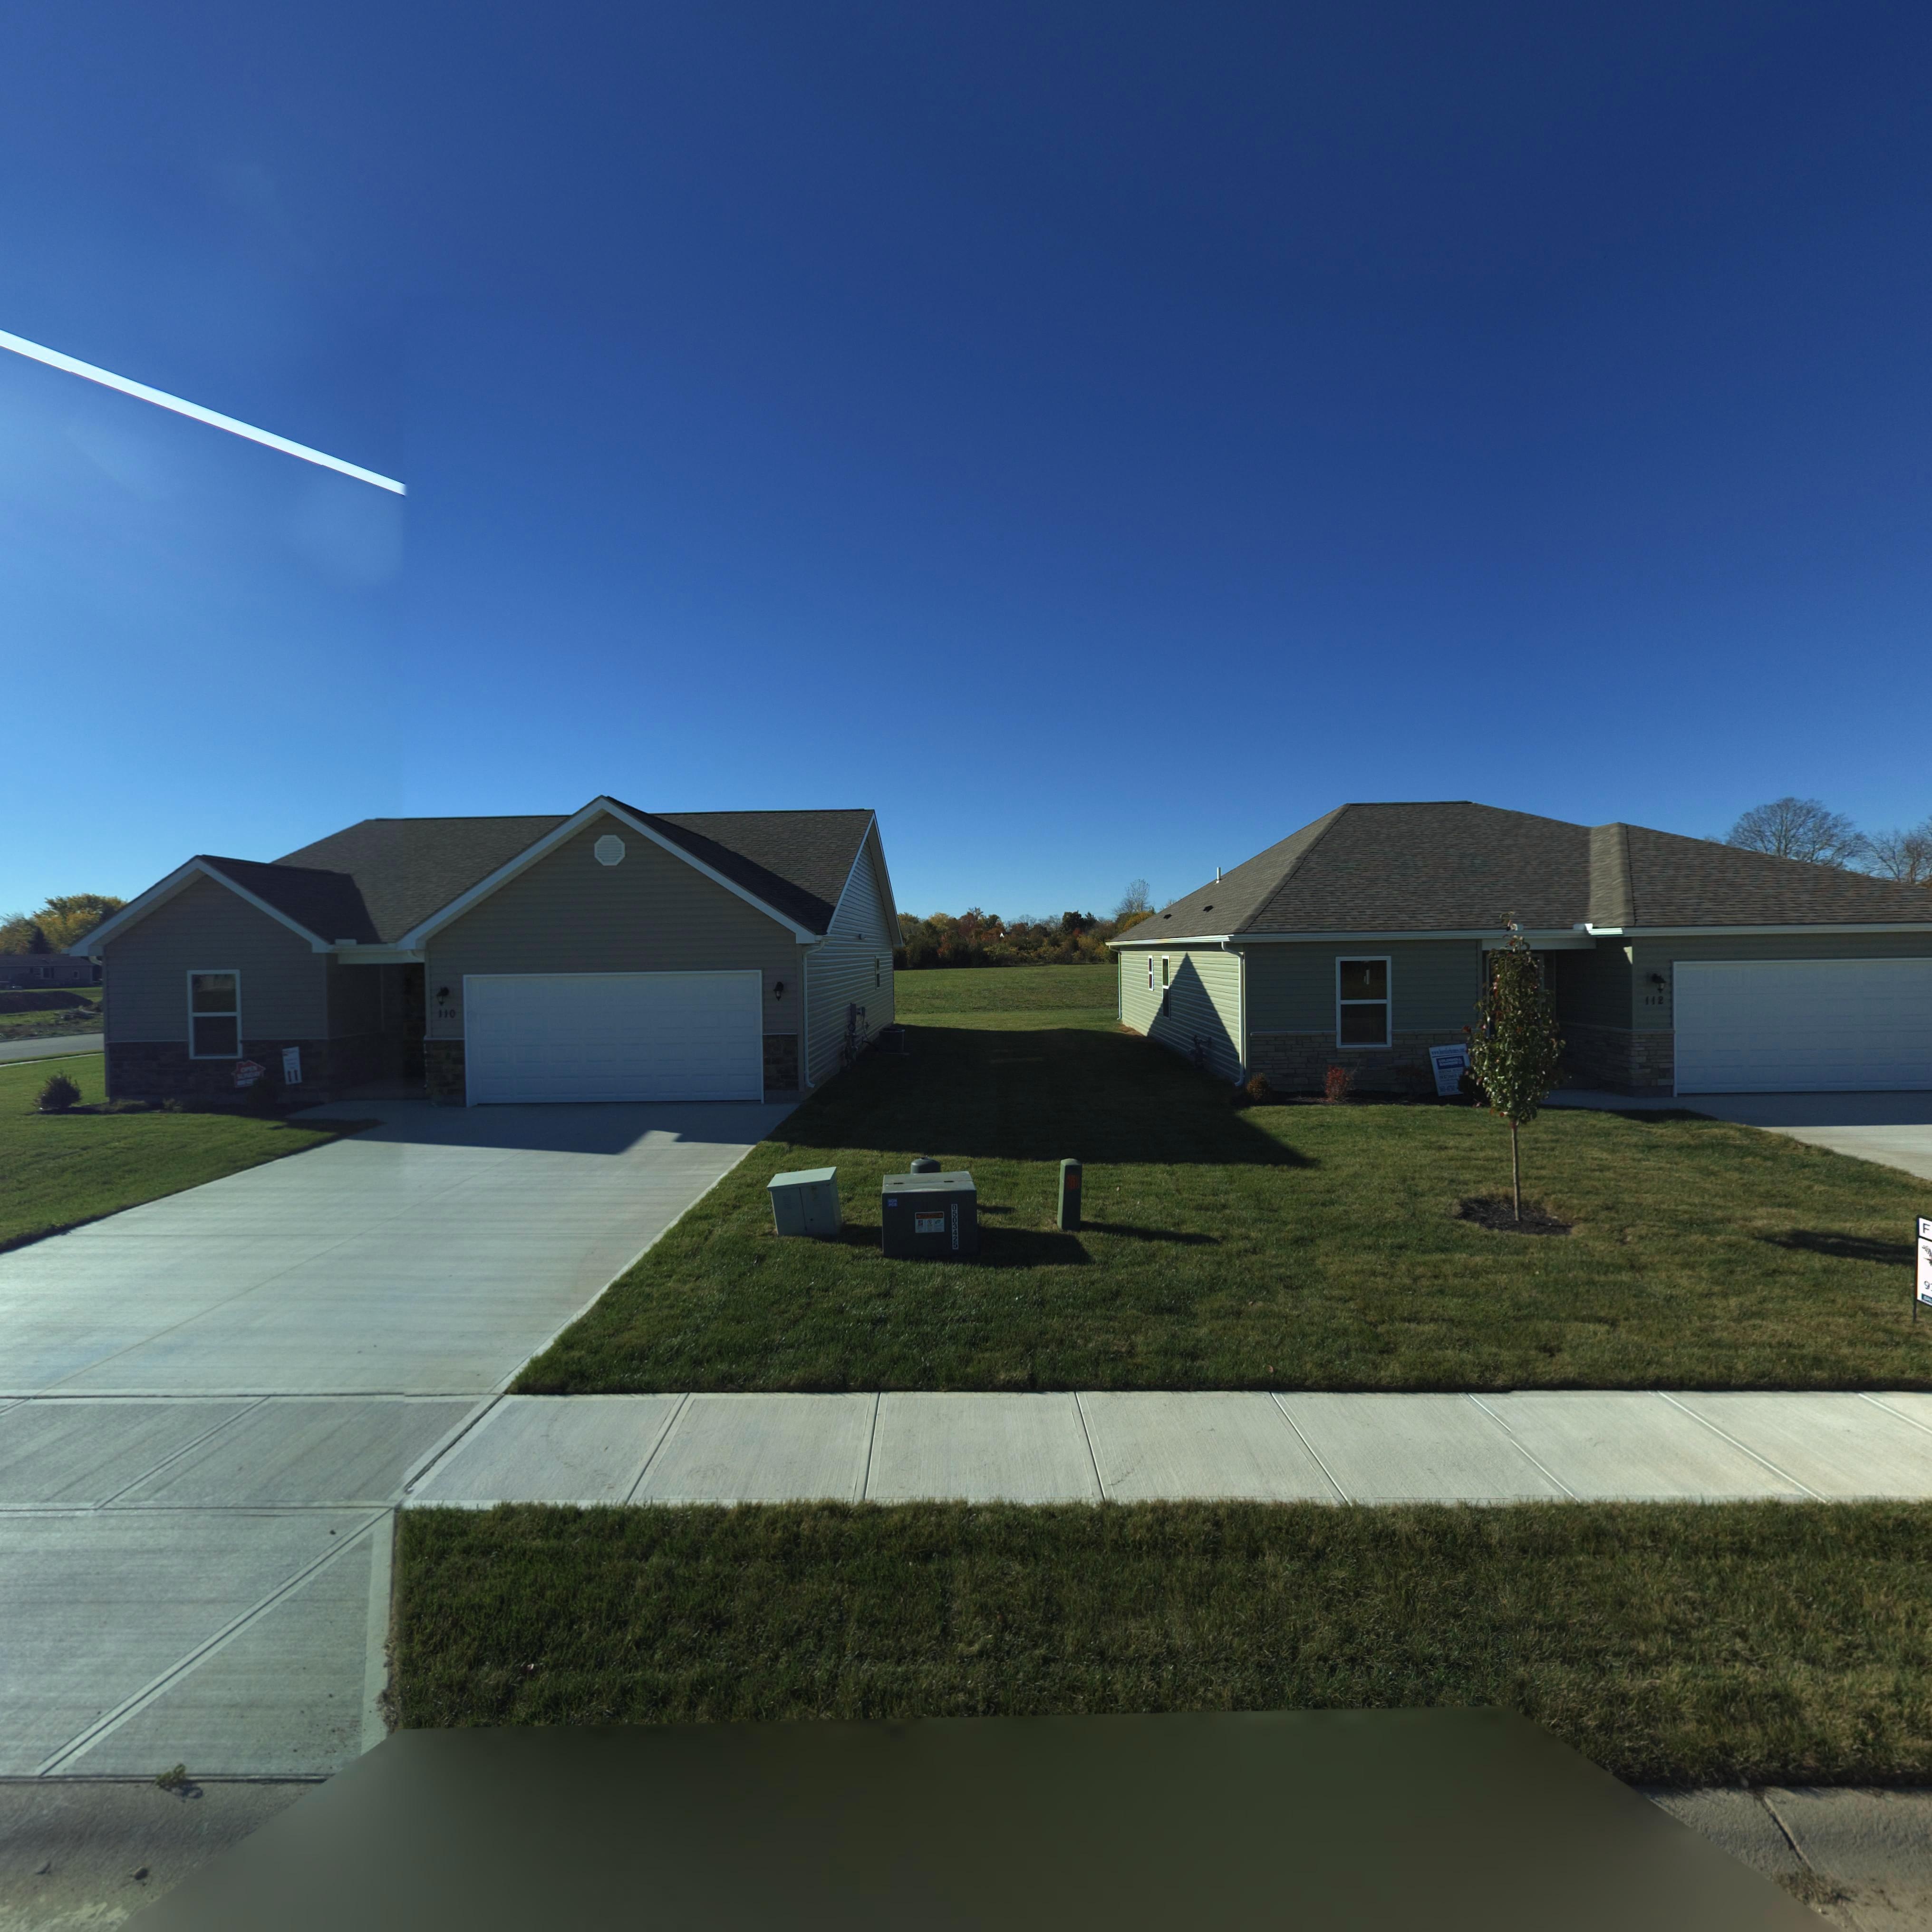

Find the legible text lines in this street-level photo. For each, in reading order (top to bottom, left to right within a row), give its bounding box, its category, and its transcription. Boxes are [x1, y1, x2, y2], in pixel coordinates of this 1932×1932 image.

[1645, 995, 1663, 1005] StreetNumber: 112
[438, 1009, 456, 1018] StreetNumber: 110